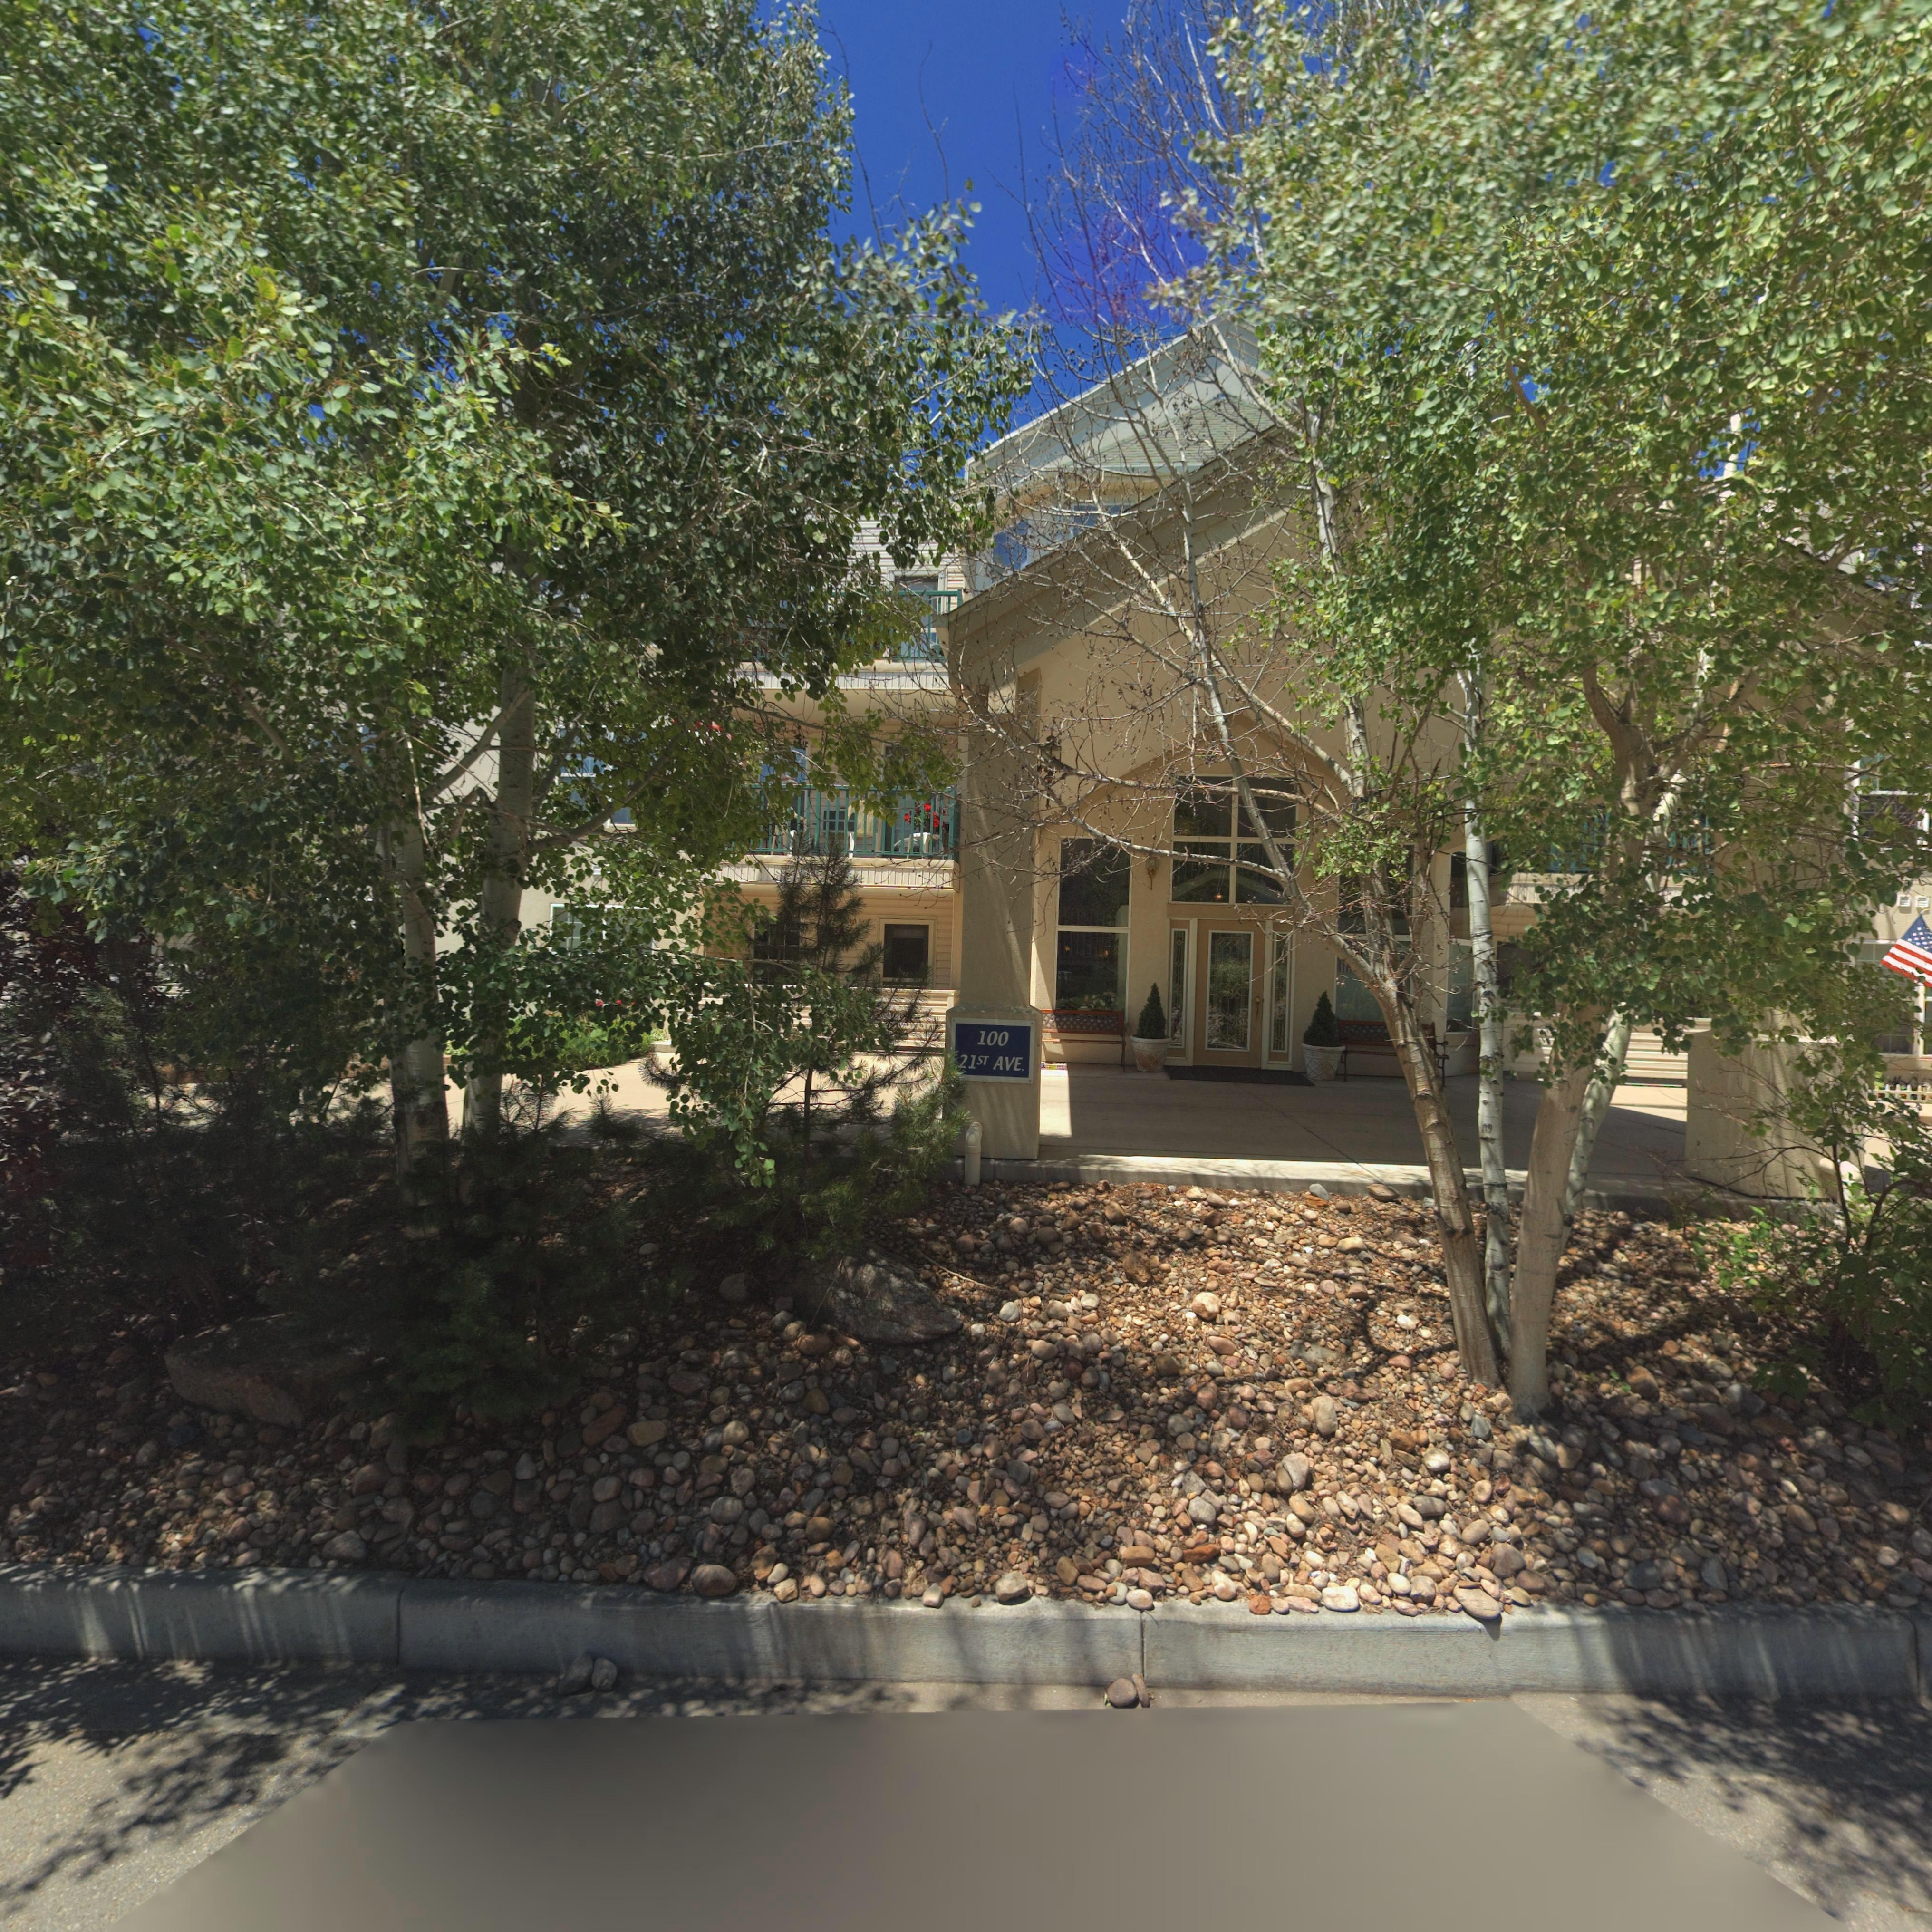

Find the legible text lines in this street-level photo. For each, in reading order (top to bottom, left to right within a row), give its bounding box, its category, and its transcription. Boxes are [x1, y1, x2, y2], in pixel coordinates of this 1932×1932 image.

[976, 1030, 1010, 1046] StreetNumber: 100
[958, 1053, 1024, 1072] StreetName: 21ST AVE